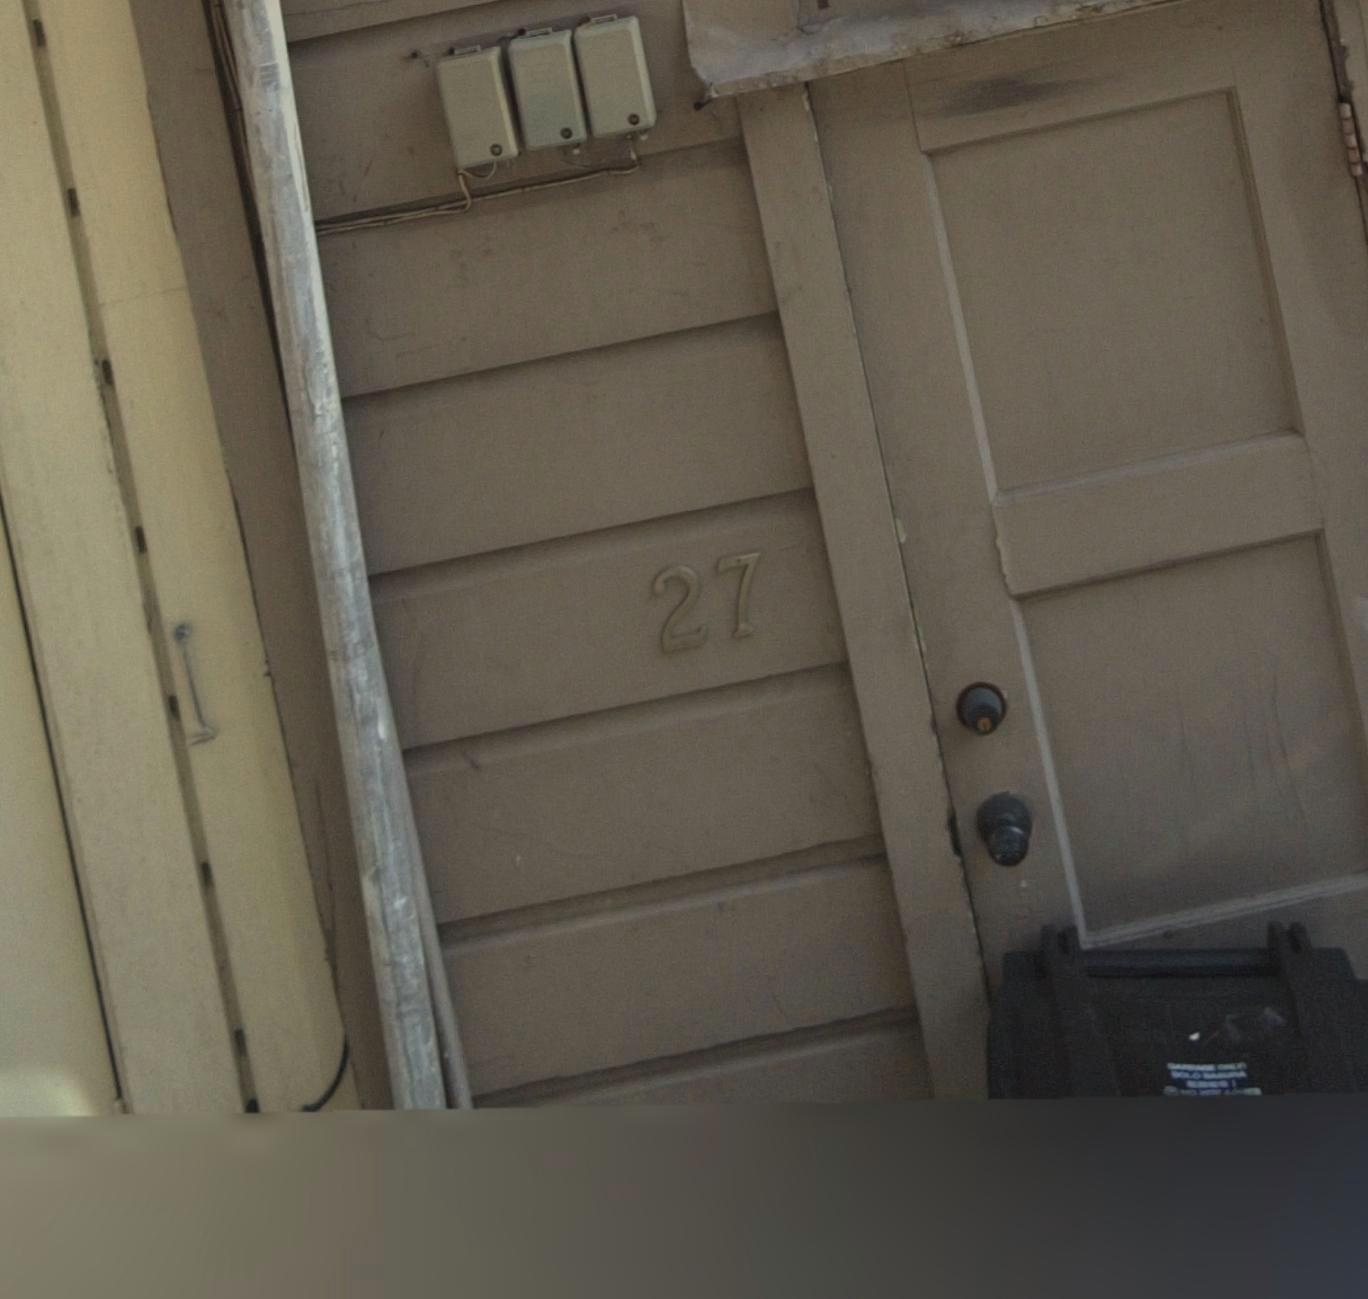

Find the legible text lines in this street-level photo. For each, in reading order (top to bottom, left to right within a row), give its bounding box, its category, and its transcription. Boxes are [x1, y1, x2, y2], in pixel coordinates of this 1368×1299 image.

[637, 537, 768, 666] StreetNumber: 27